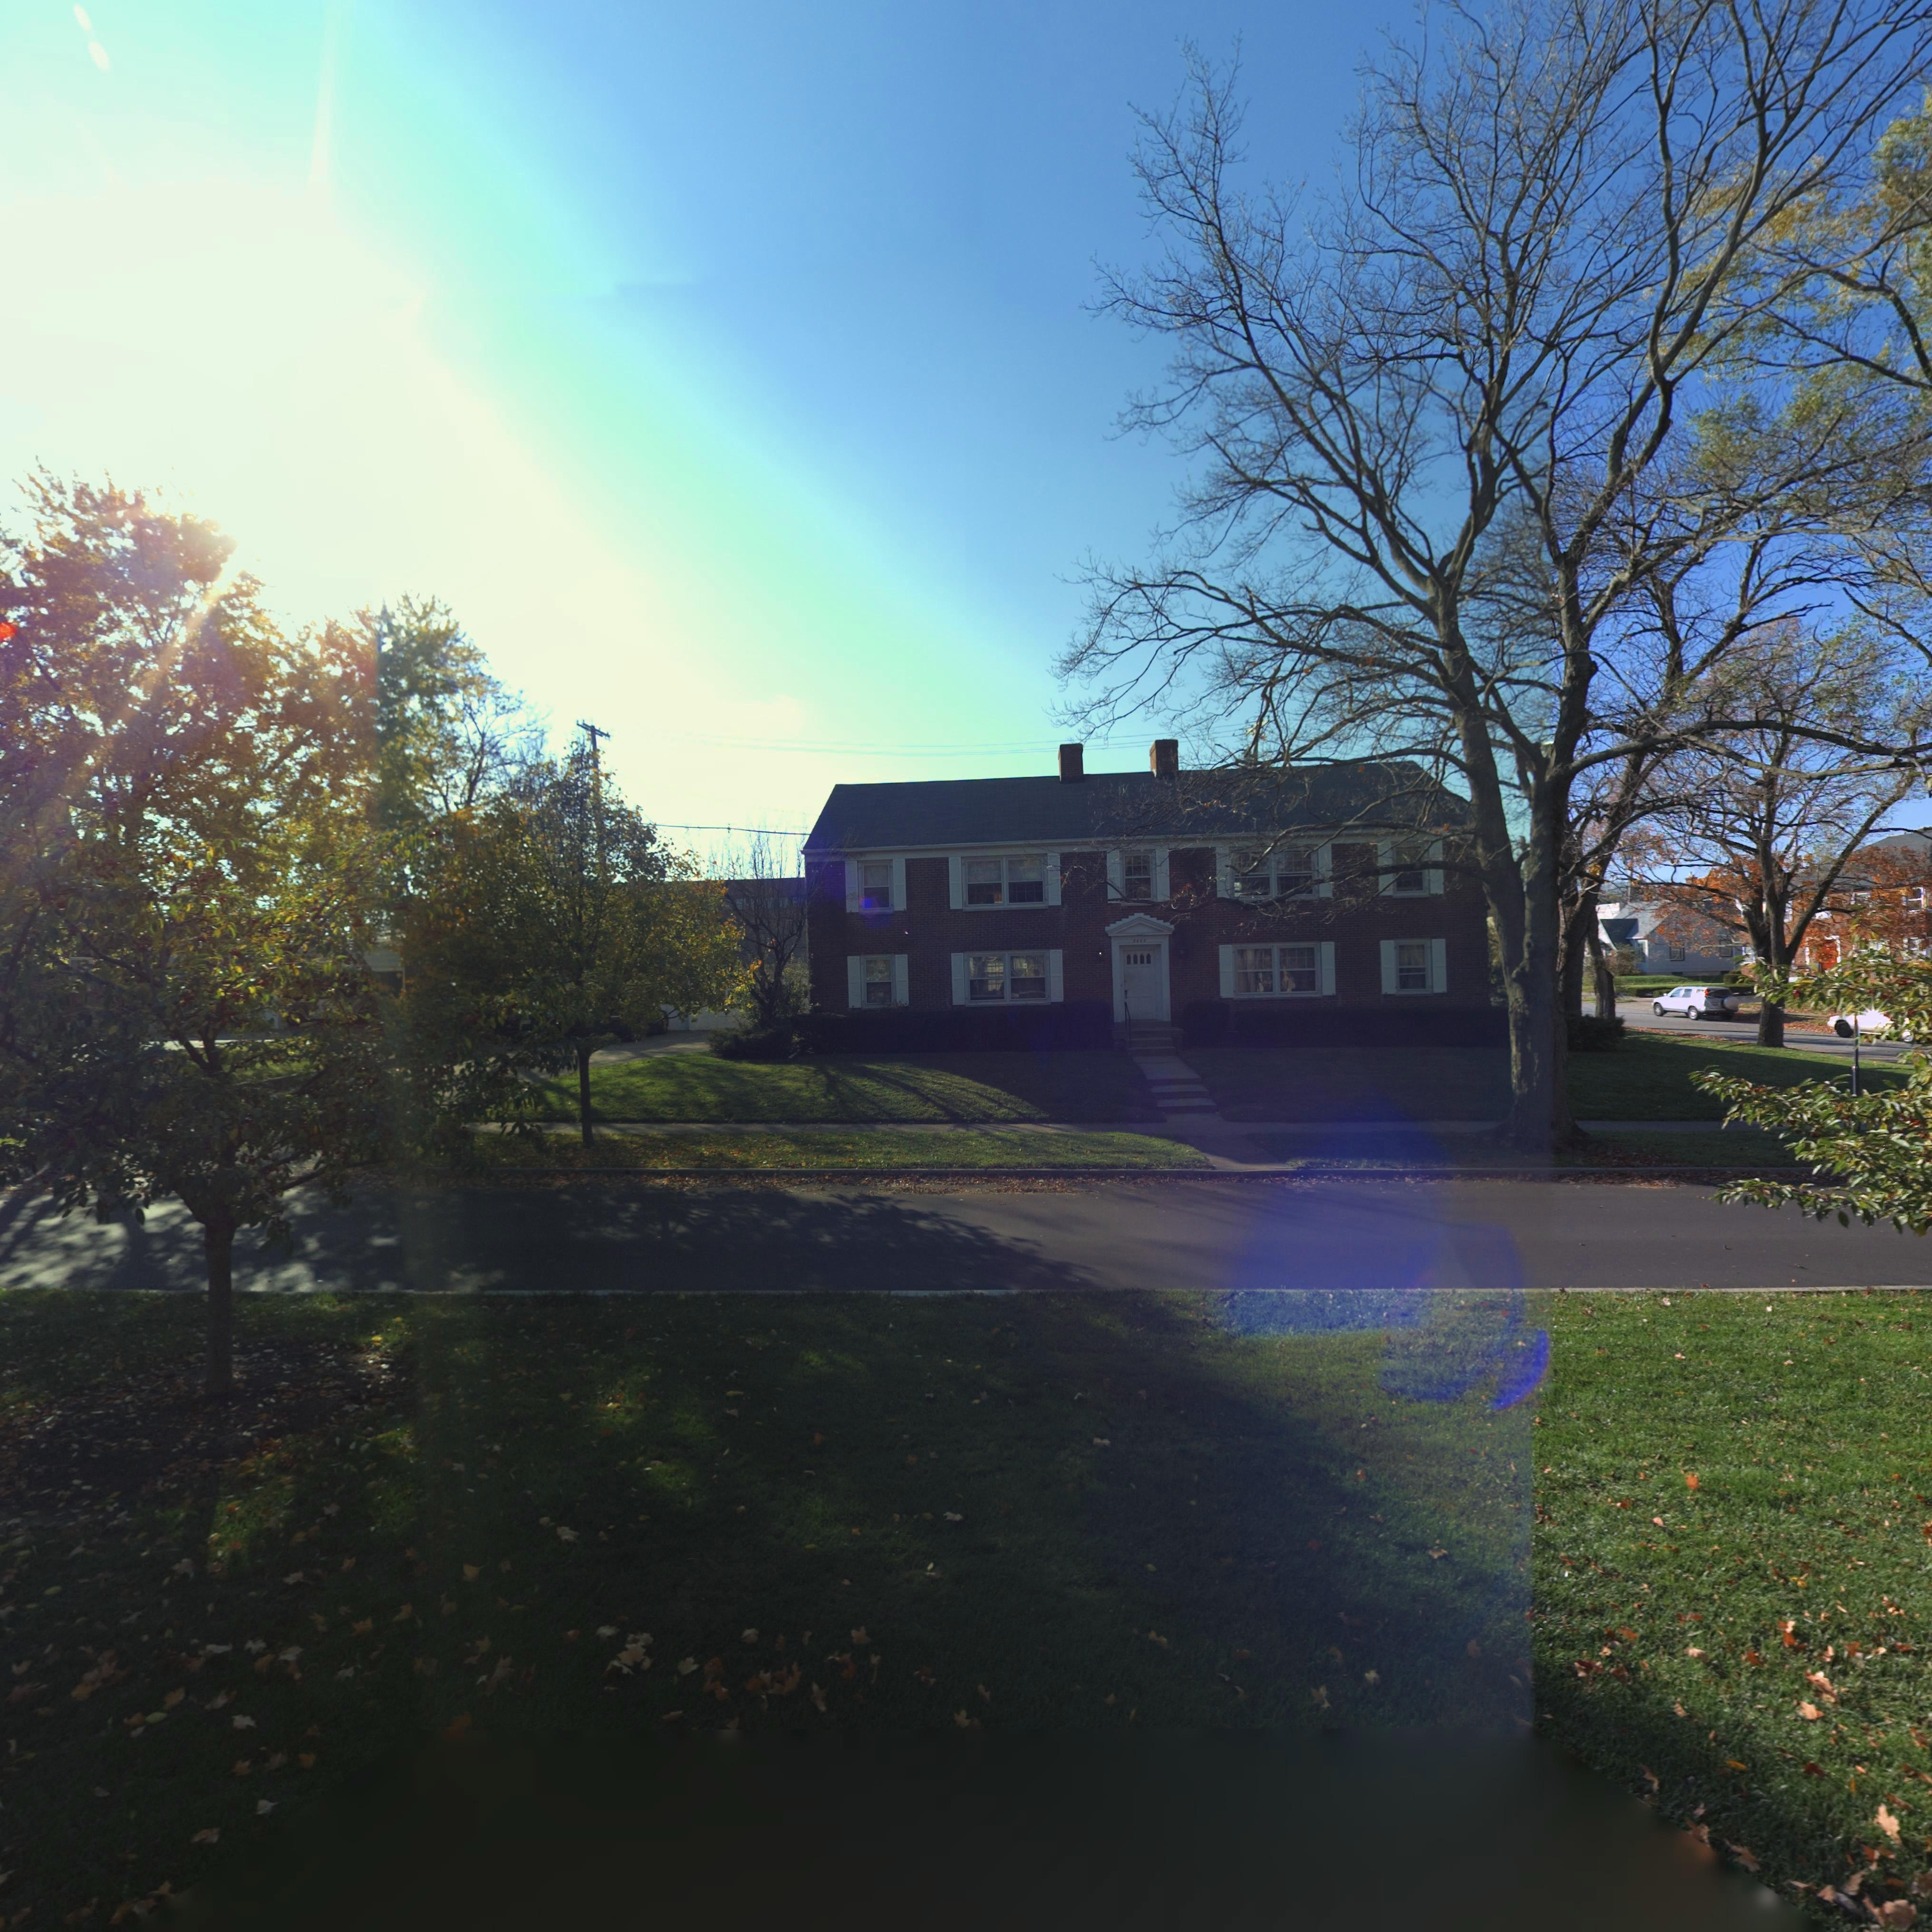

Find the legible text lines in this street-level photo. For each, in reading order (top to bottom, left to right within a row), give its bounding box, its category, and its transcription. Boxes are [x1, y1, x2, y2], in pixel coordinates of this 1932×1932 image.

[1132, 938, 1147, 944] StreetNumber: 2605